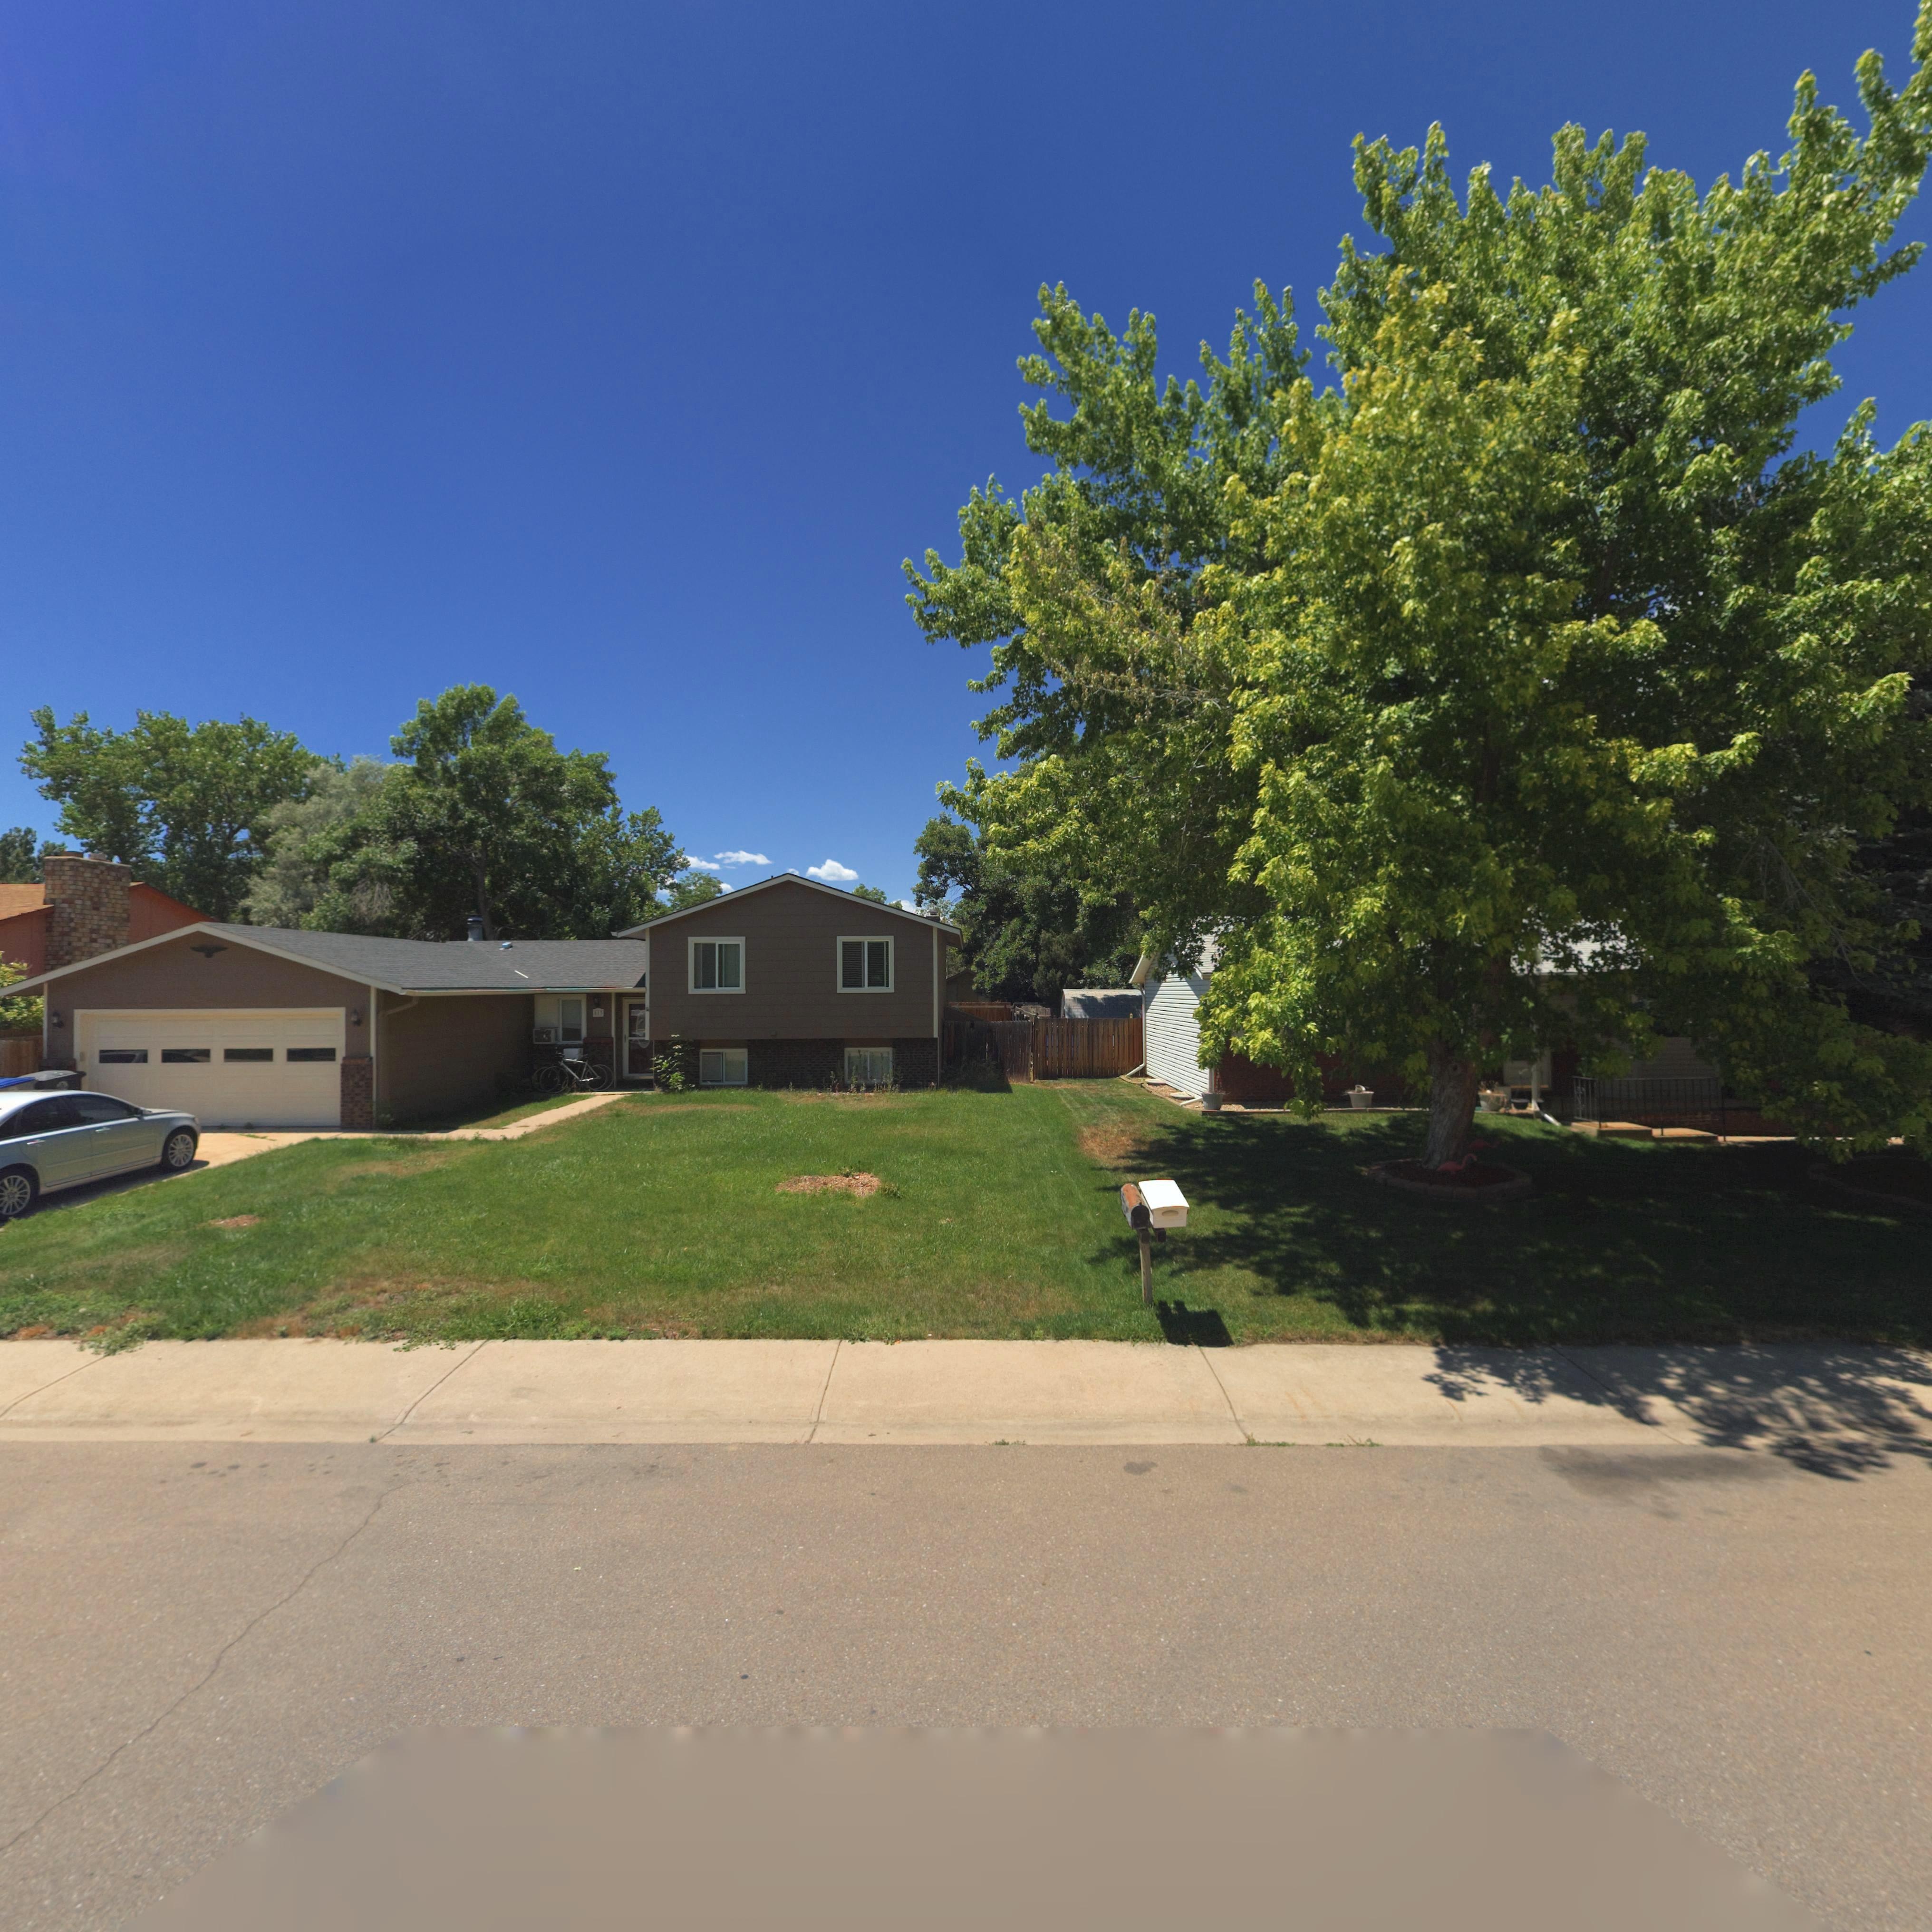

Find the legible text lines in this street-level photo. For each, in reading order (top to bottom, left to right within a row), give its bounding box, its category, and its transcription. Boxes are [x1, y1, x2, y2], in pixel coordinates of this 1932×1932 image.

[594, 1010, 603, 1016] StreetNumber: 81*